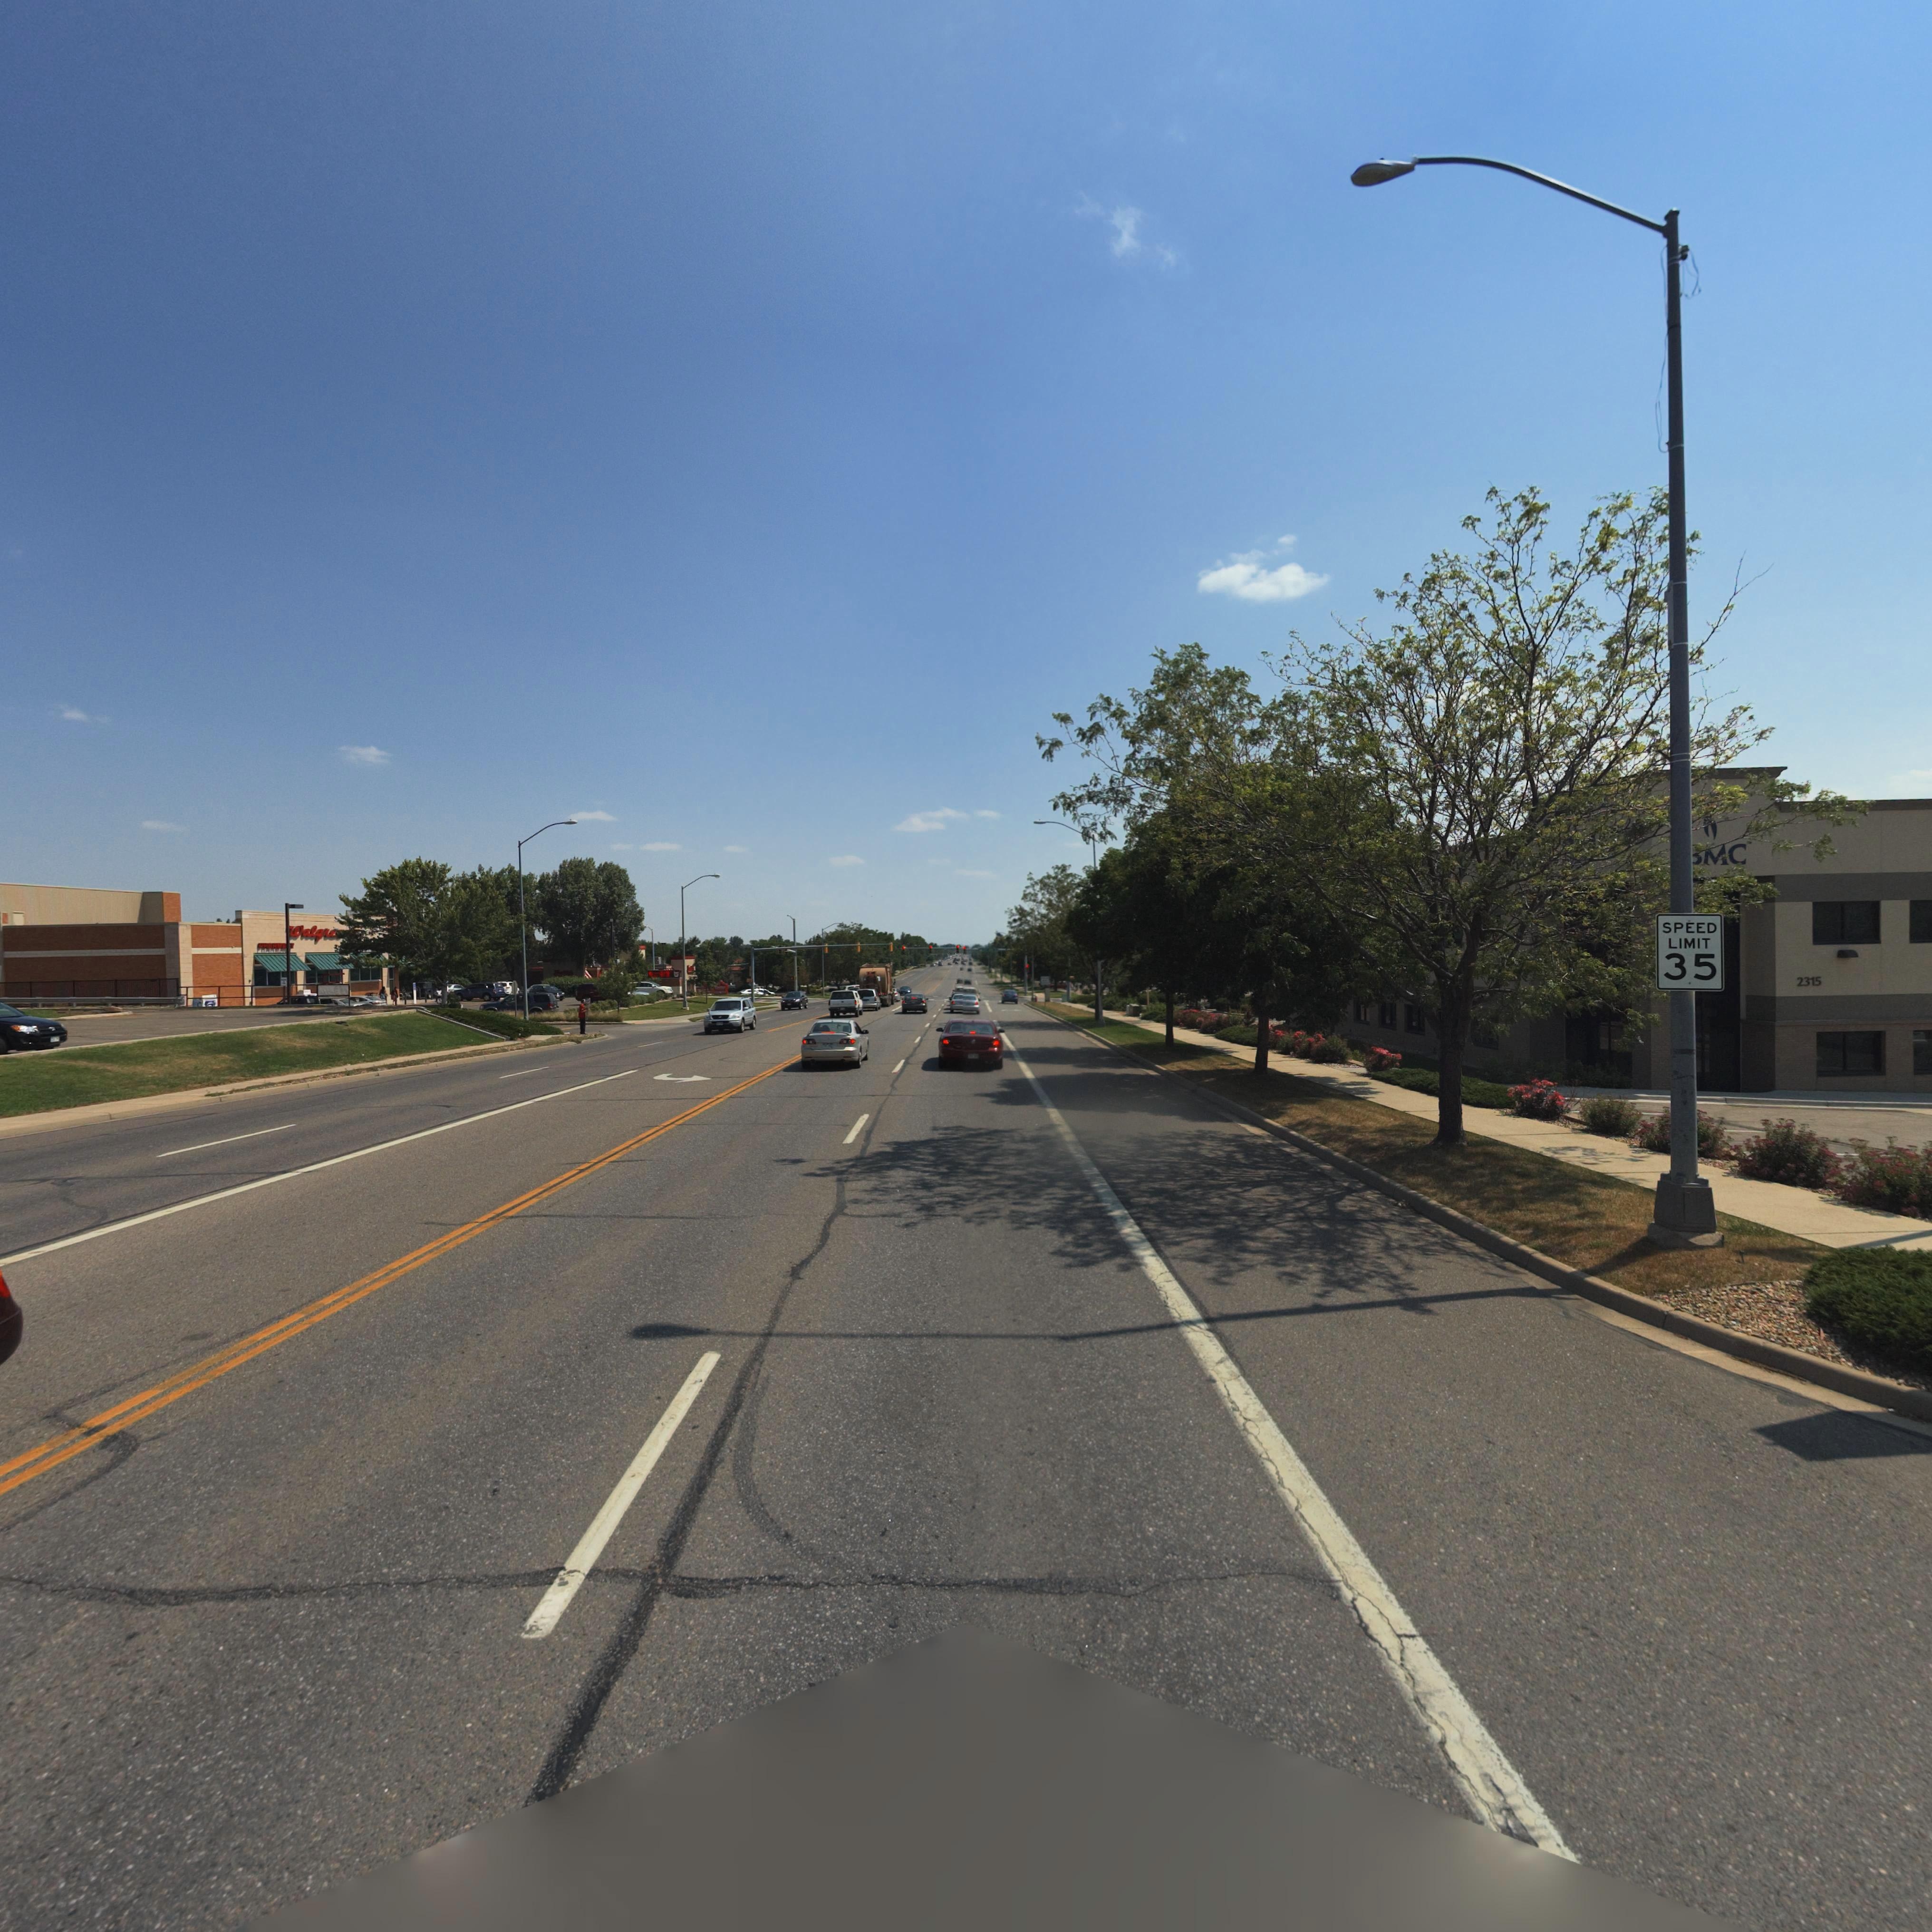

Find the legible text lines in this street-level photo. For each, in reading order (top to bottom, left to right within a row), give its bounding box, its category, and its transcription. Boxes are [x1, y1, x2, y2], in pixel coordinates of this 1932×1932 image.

[1686, 842, 1747, 867] BusinessName: *MC
[288, 925, 338, 942] BusinessName: Walgre
[1796, 976, 1822, 987] StreetNumber: 2315